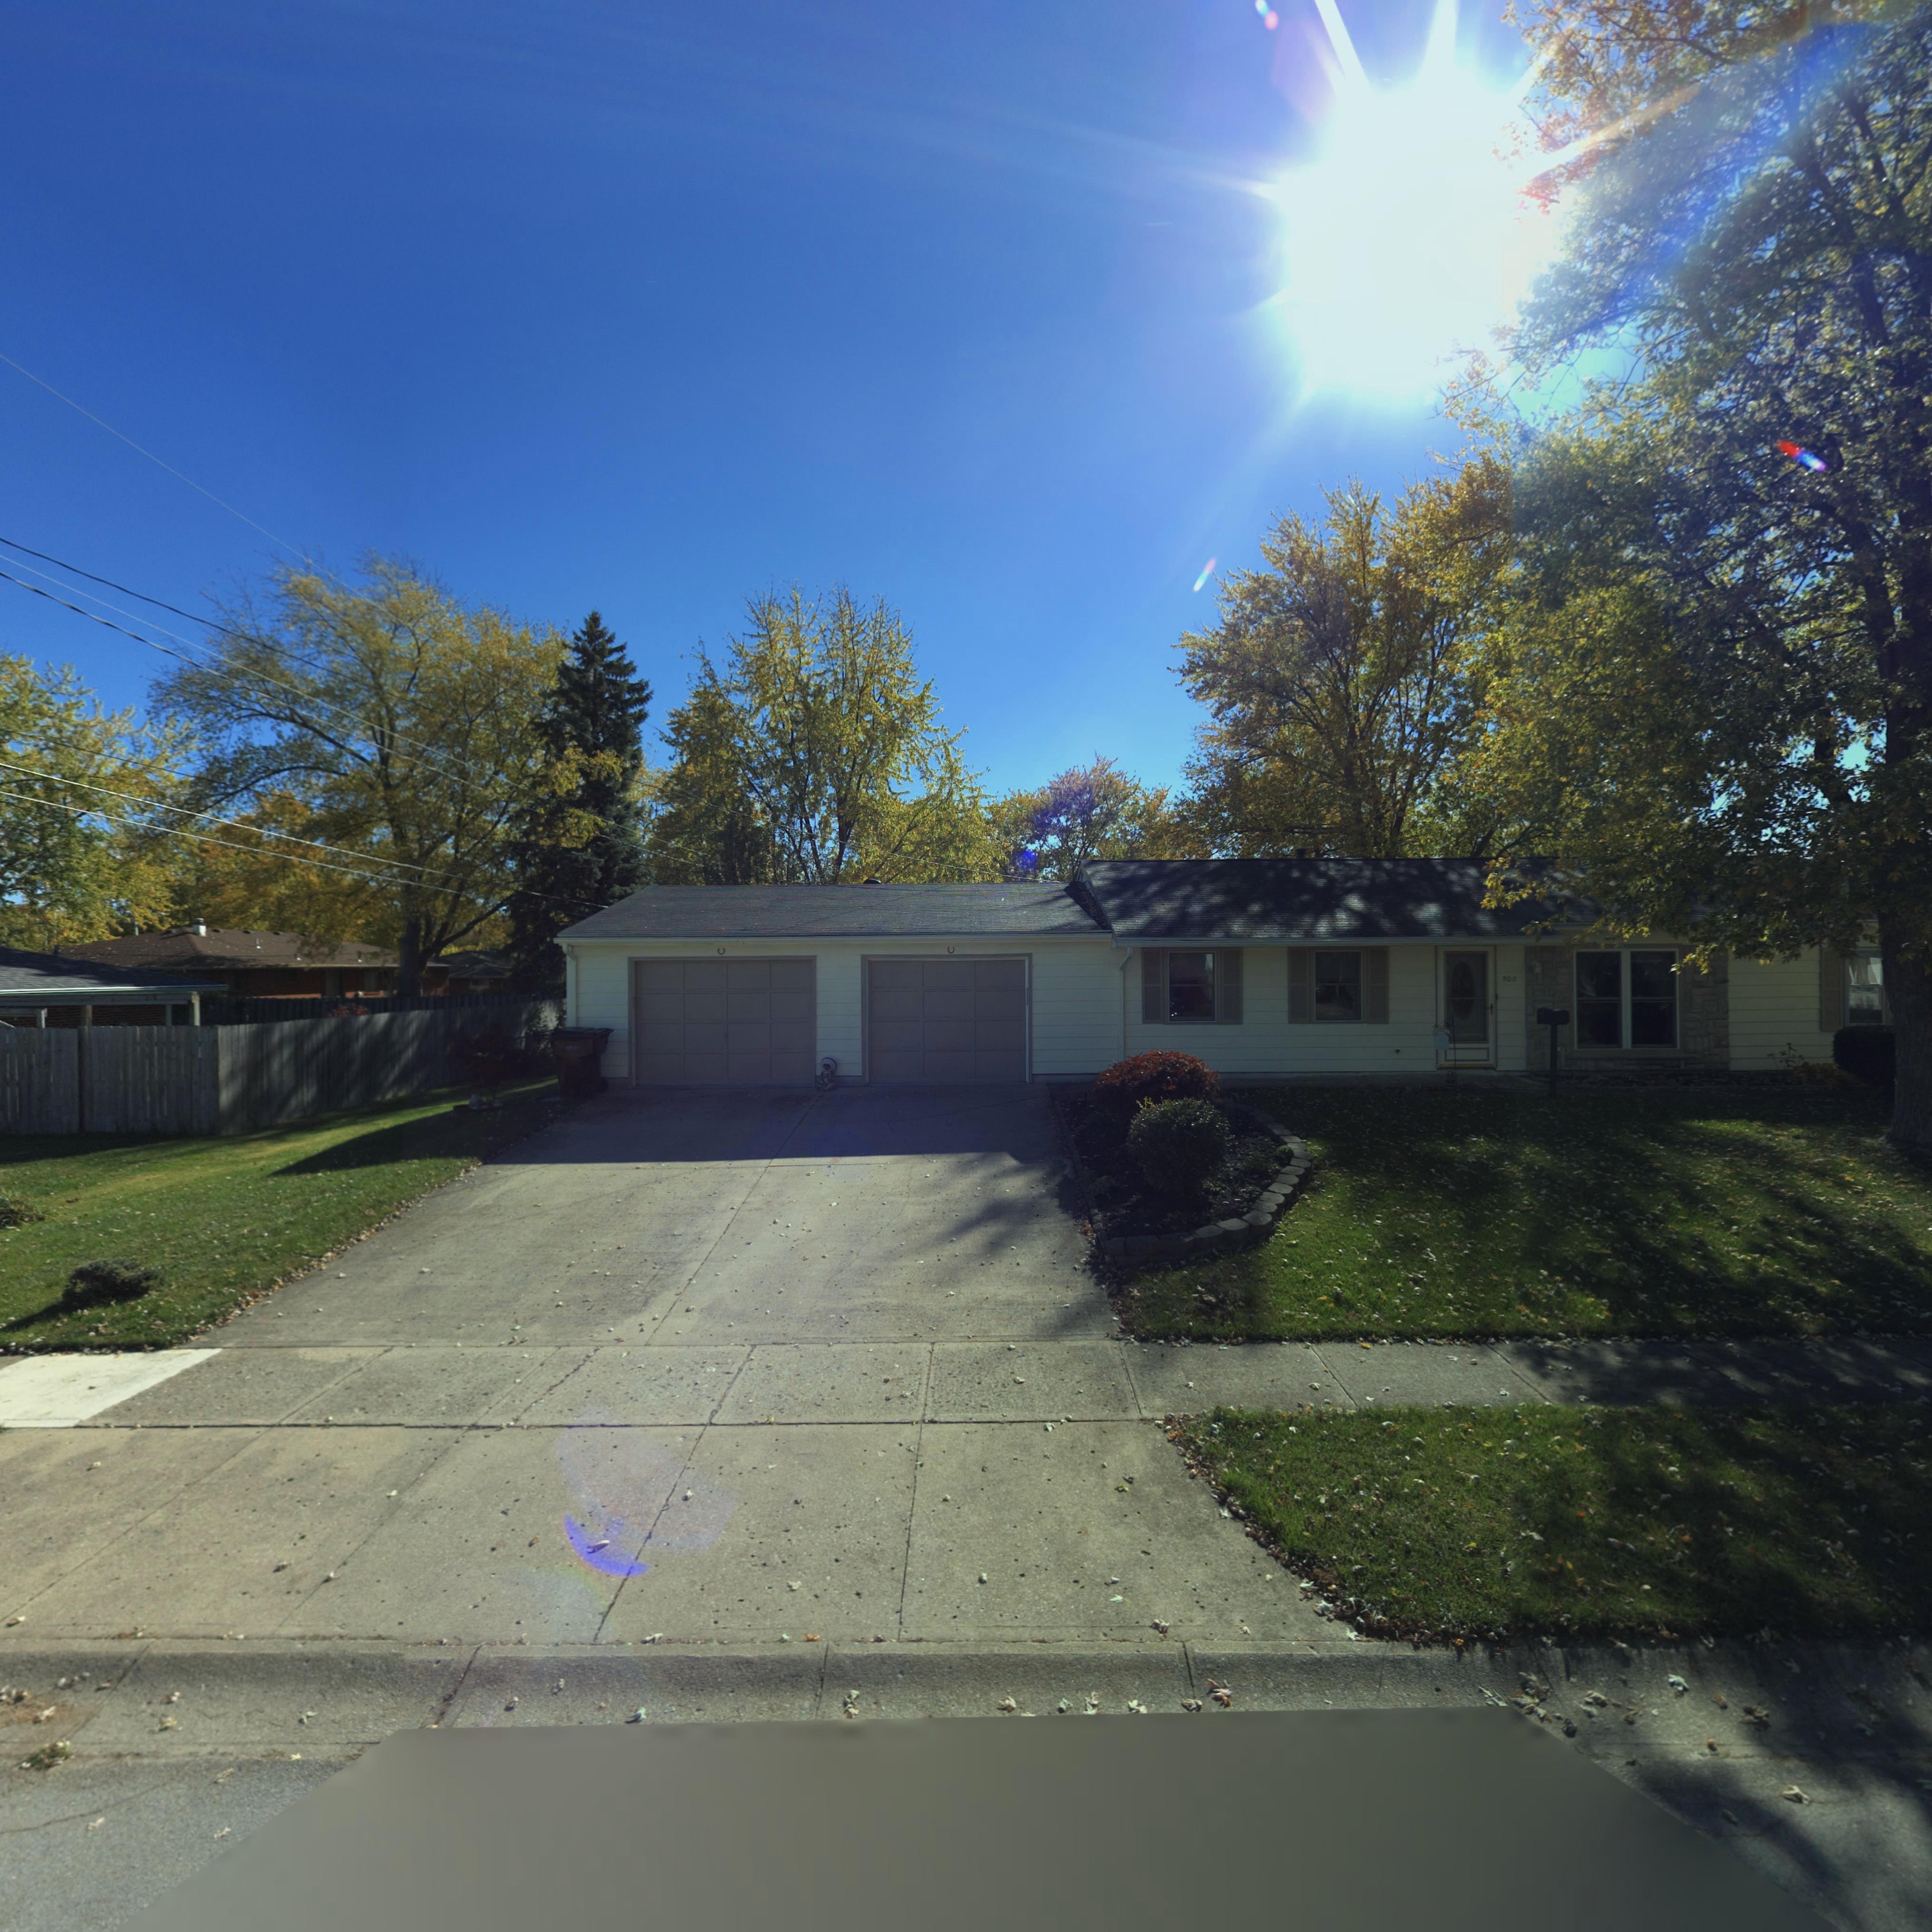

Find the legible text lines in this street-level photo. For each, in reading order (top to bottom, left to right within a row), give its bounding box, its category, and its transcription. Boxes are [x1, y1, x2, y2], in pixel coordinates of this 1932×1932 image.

[1501, 975, 1517, 982] StreetNumber: 502